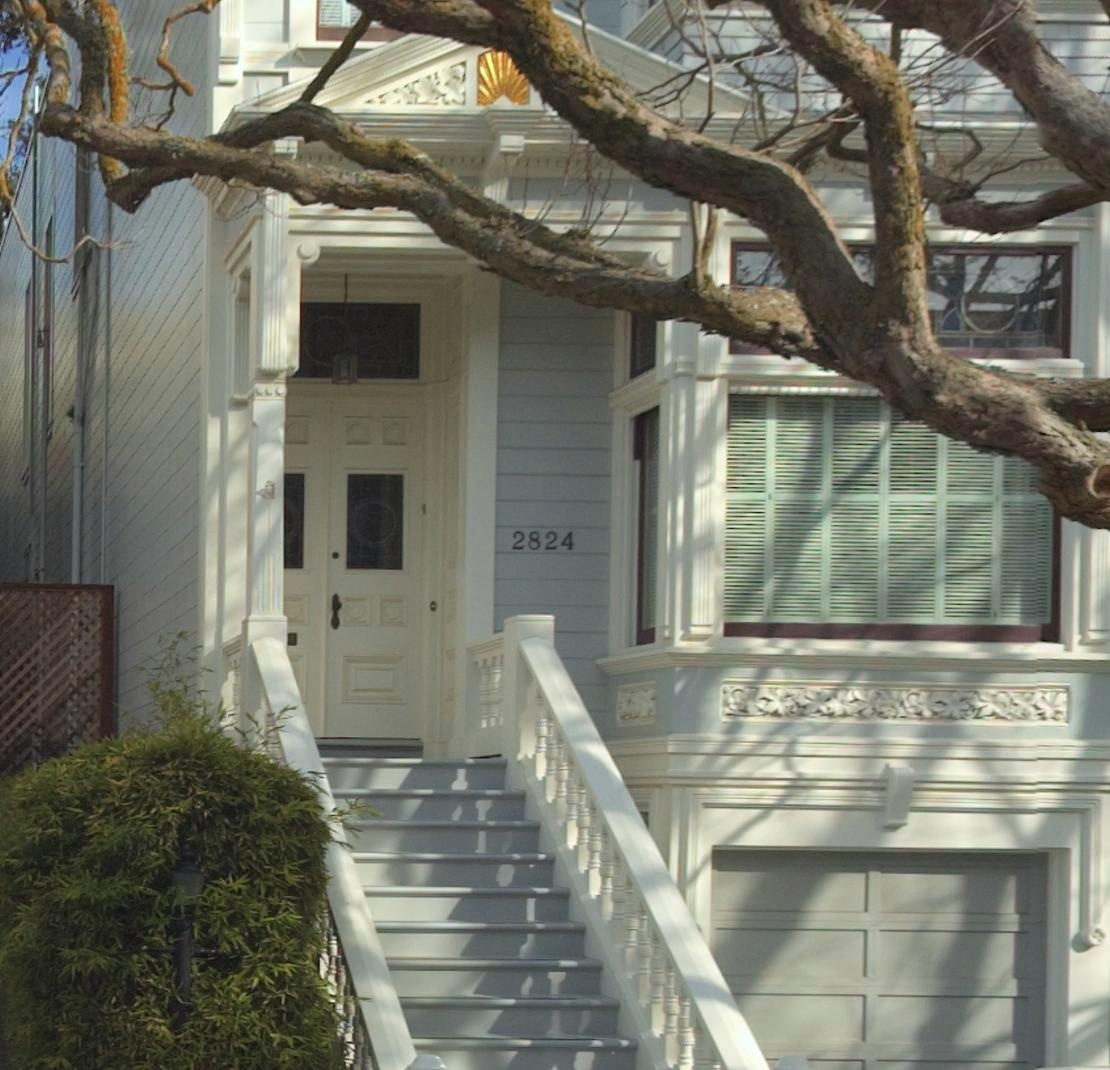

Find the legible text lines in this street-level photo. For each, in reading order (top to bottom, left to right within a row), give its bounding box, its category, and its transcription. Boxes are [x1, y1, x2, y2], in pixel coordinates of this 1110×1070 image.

[509, 528, 577, 553] StreetNumber: 2824